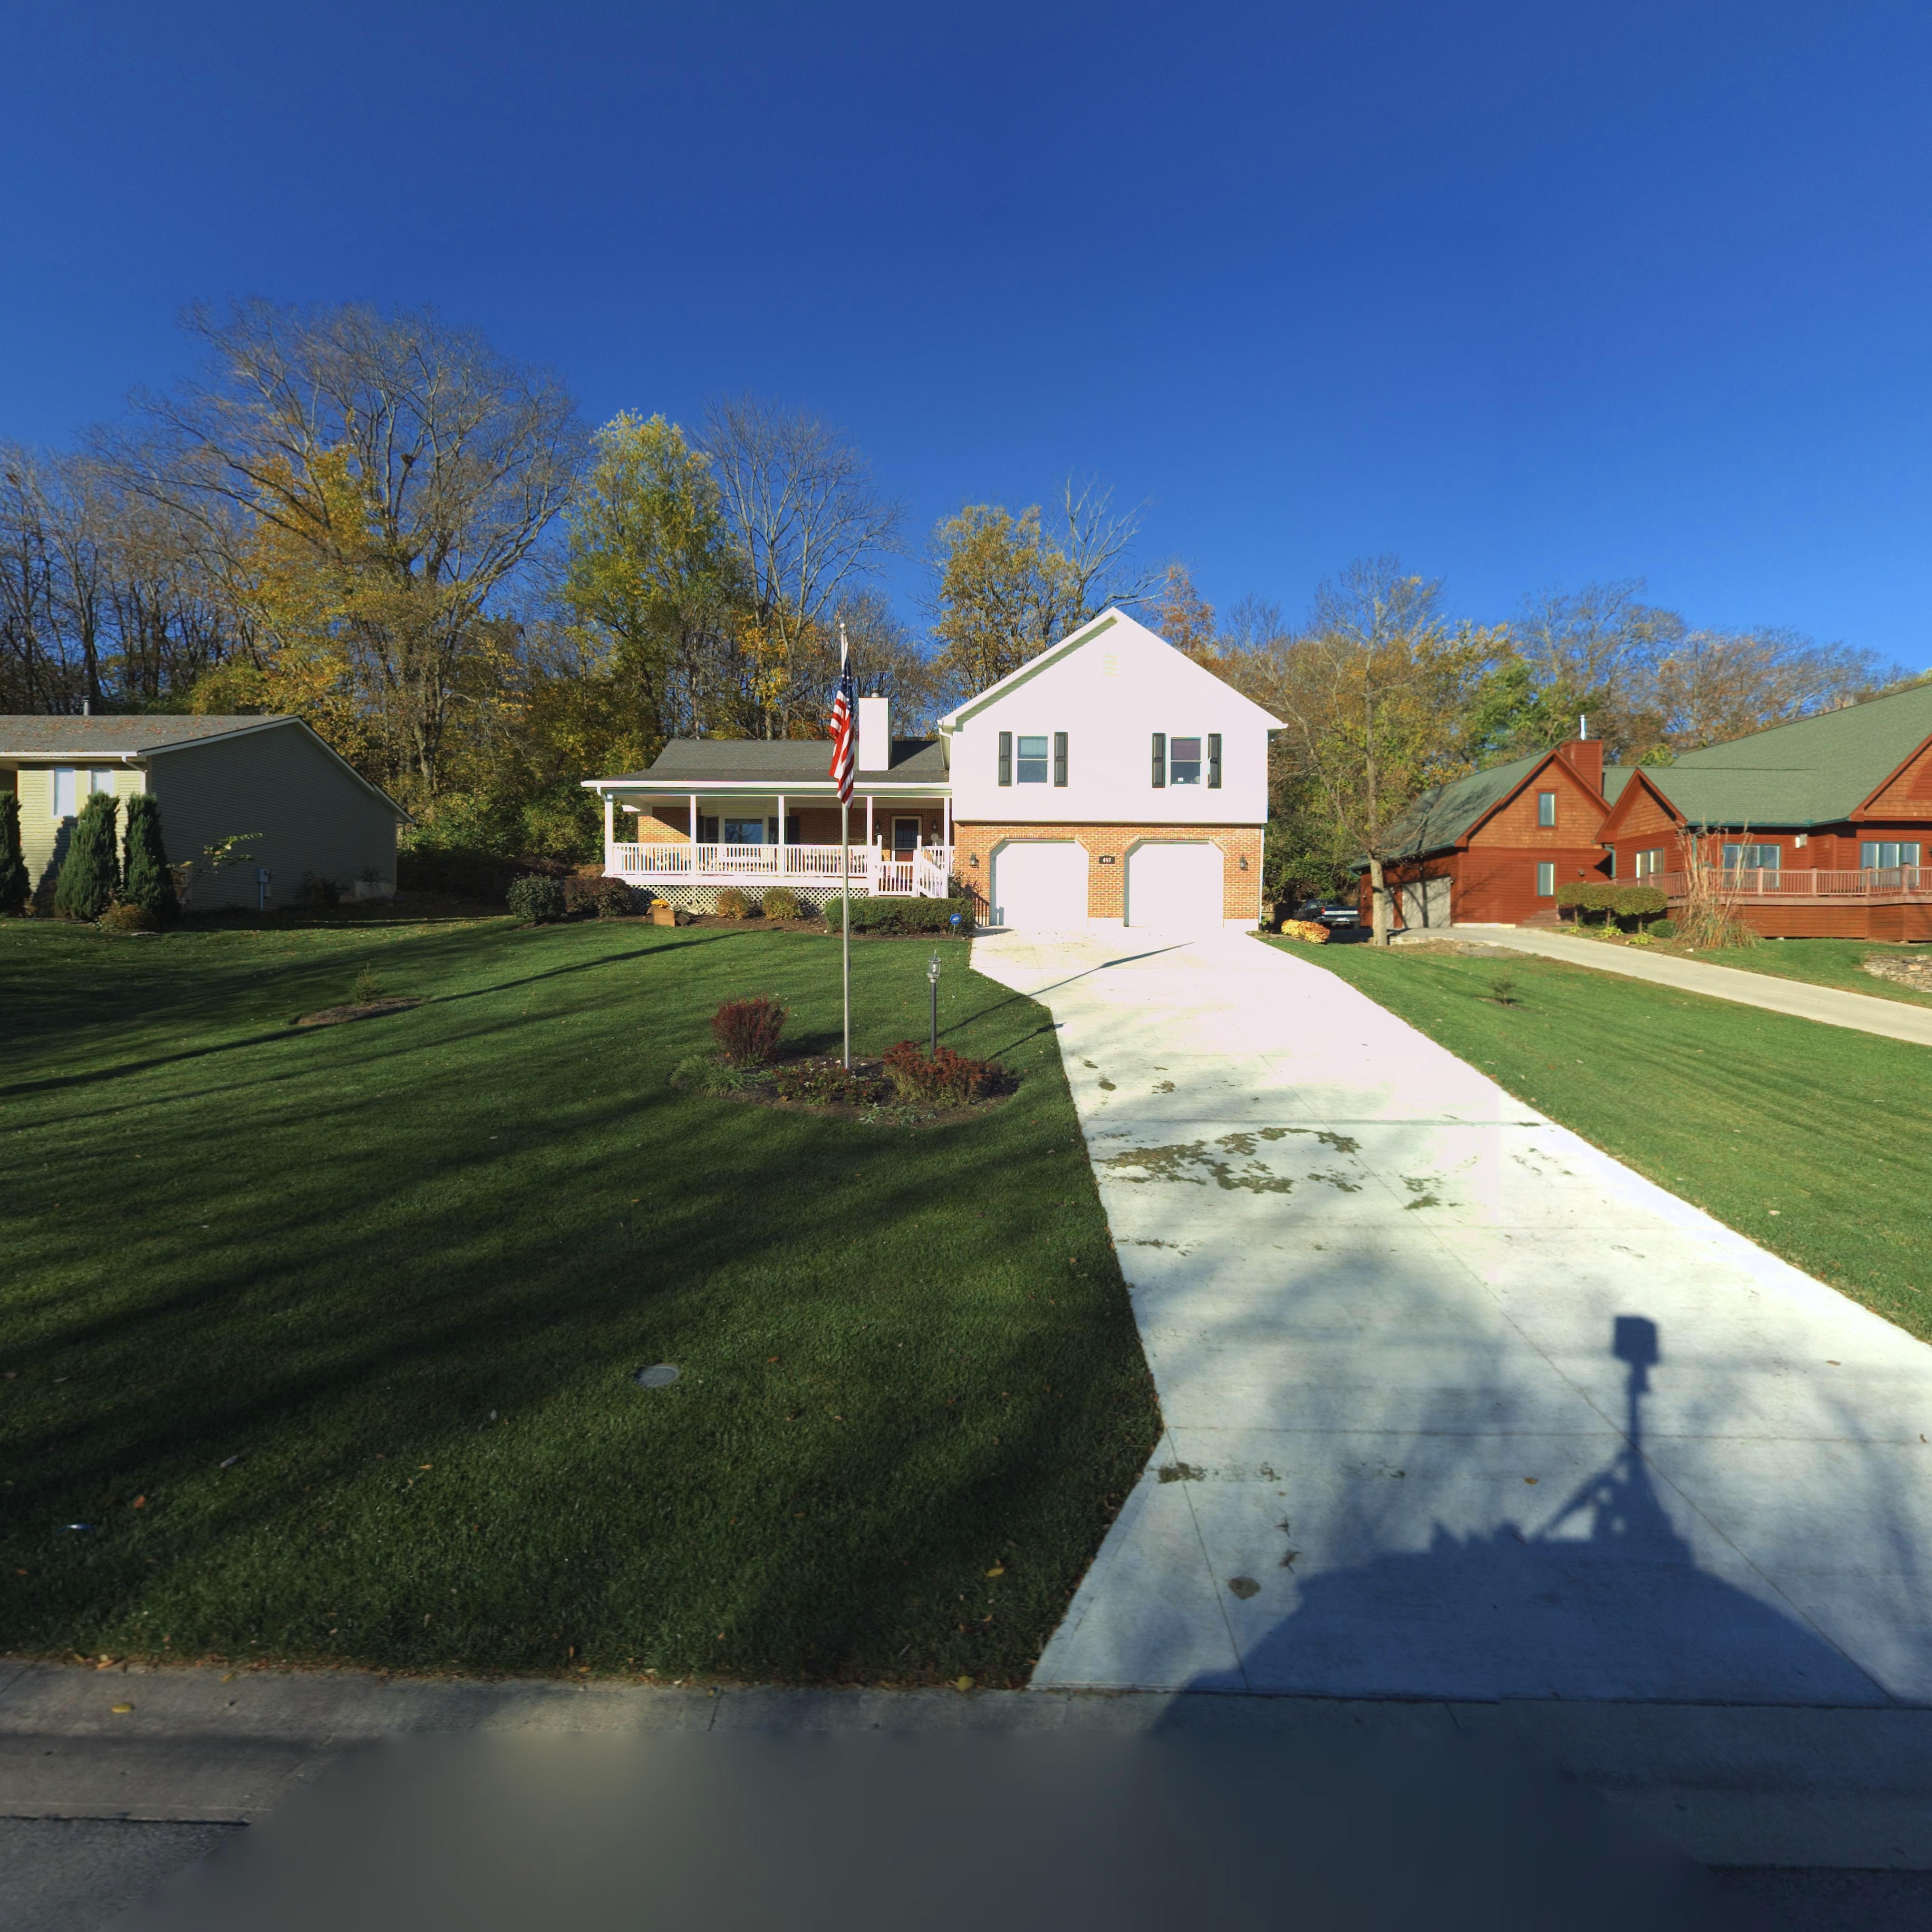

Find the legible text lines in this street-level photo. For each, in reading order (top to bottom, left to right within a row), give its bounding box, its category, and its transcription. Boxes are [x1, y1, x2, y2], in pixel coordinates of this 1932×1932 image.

[1102, 857, 1112, 863] StreetNumber: 4*7